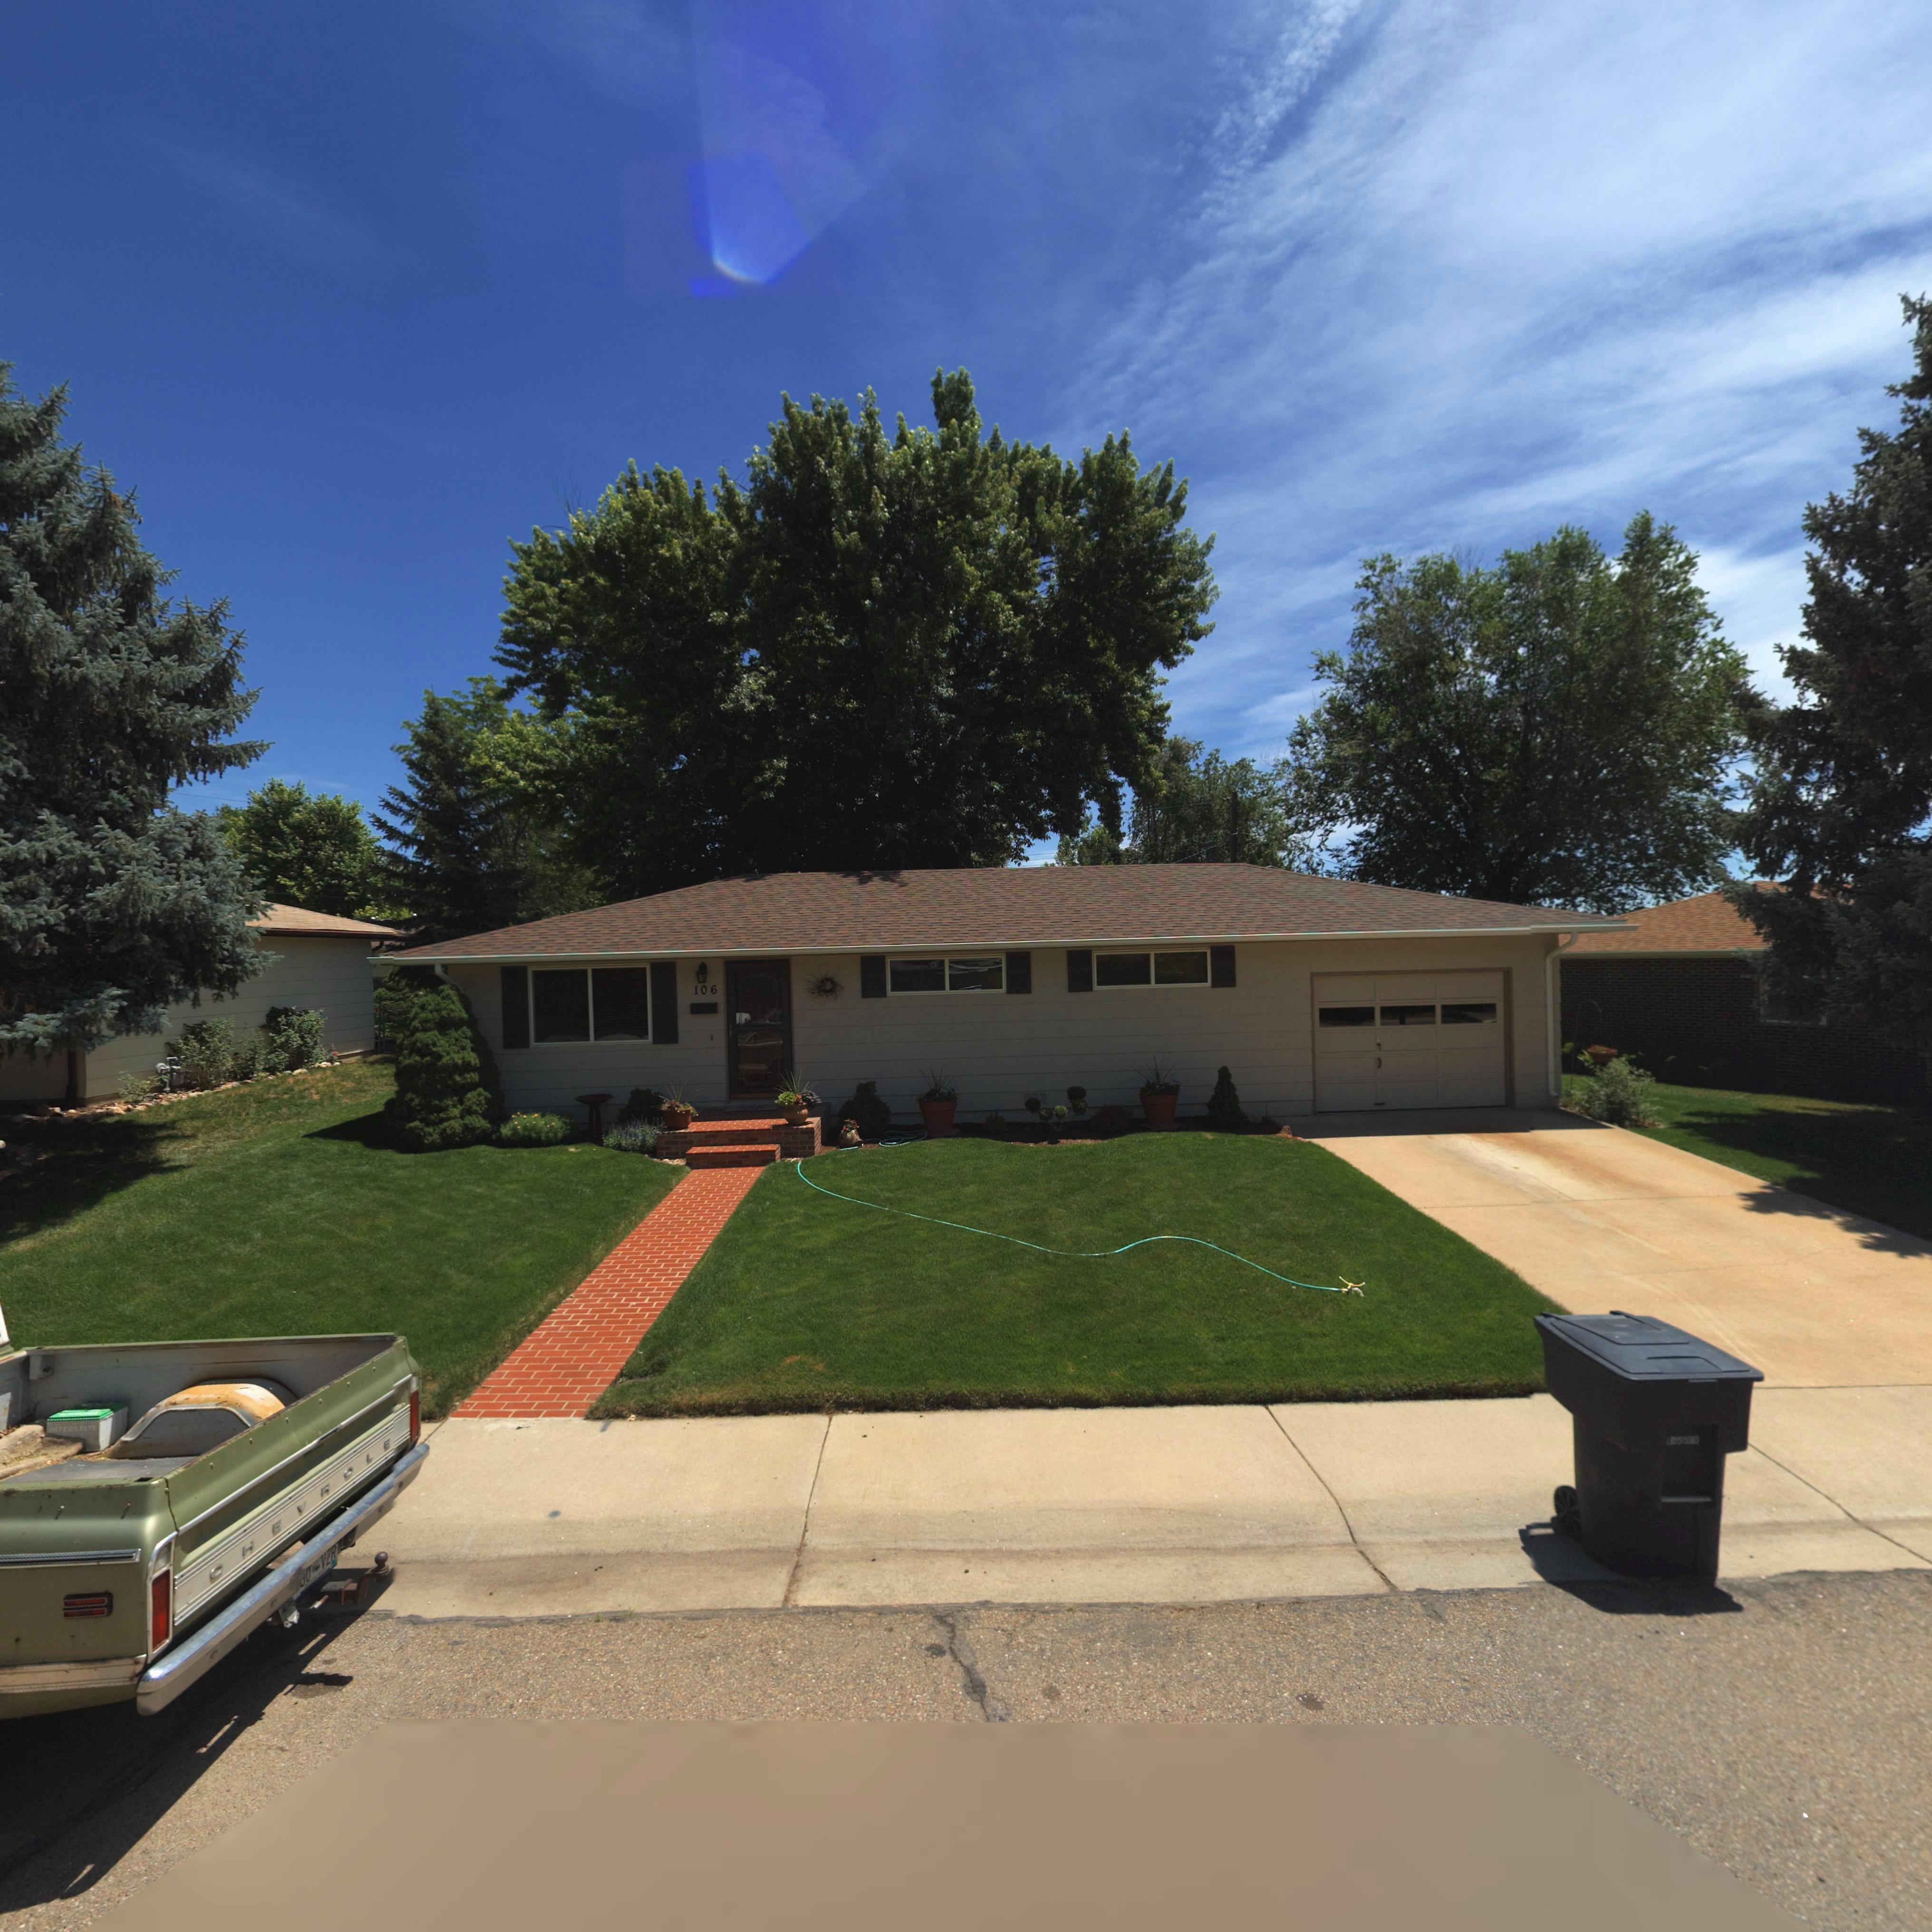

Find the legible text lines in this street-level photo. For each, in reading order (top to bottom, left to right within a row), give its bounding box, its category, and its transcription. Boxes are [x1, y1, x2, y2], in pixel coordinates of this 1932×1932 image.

[694, 985, 717, 995] StreetNumber: 106